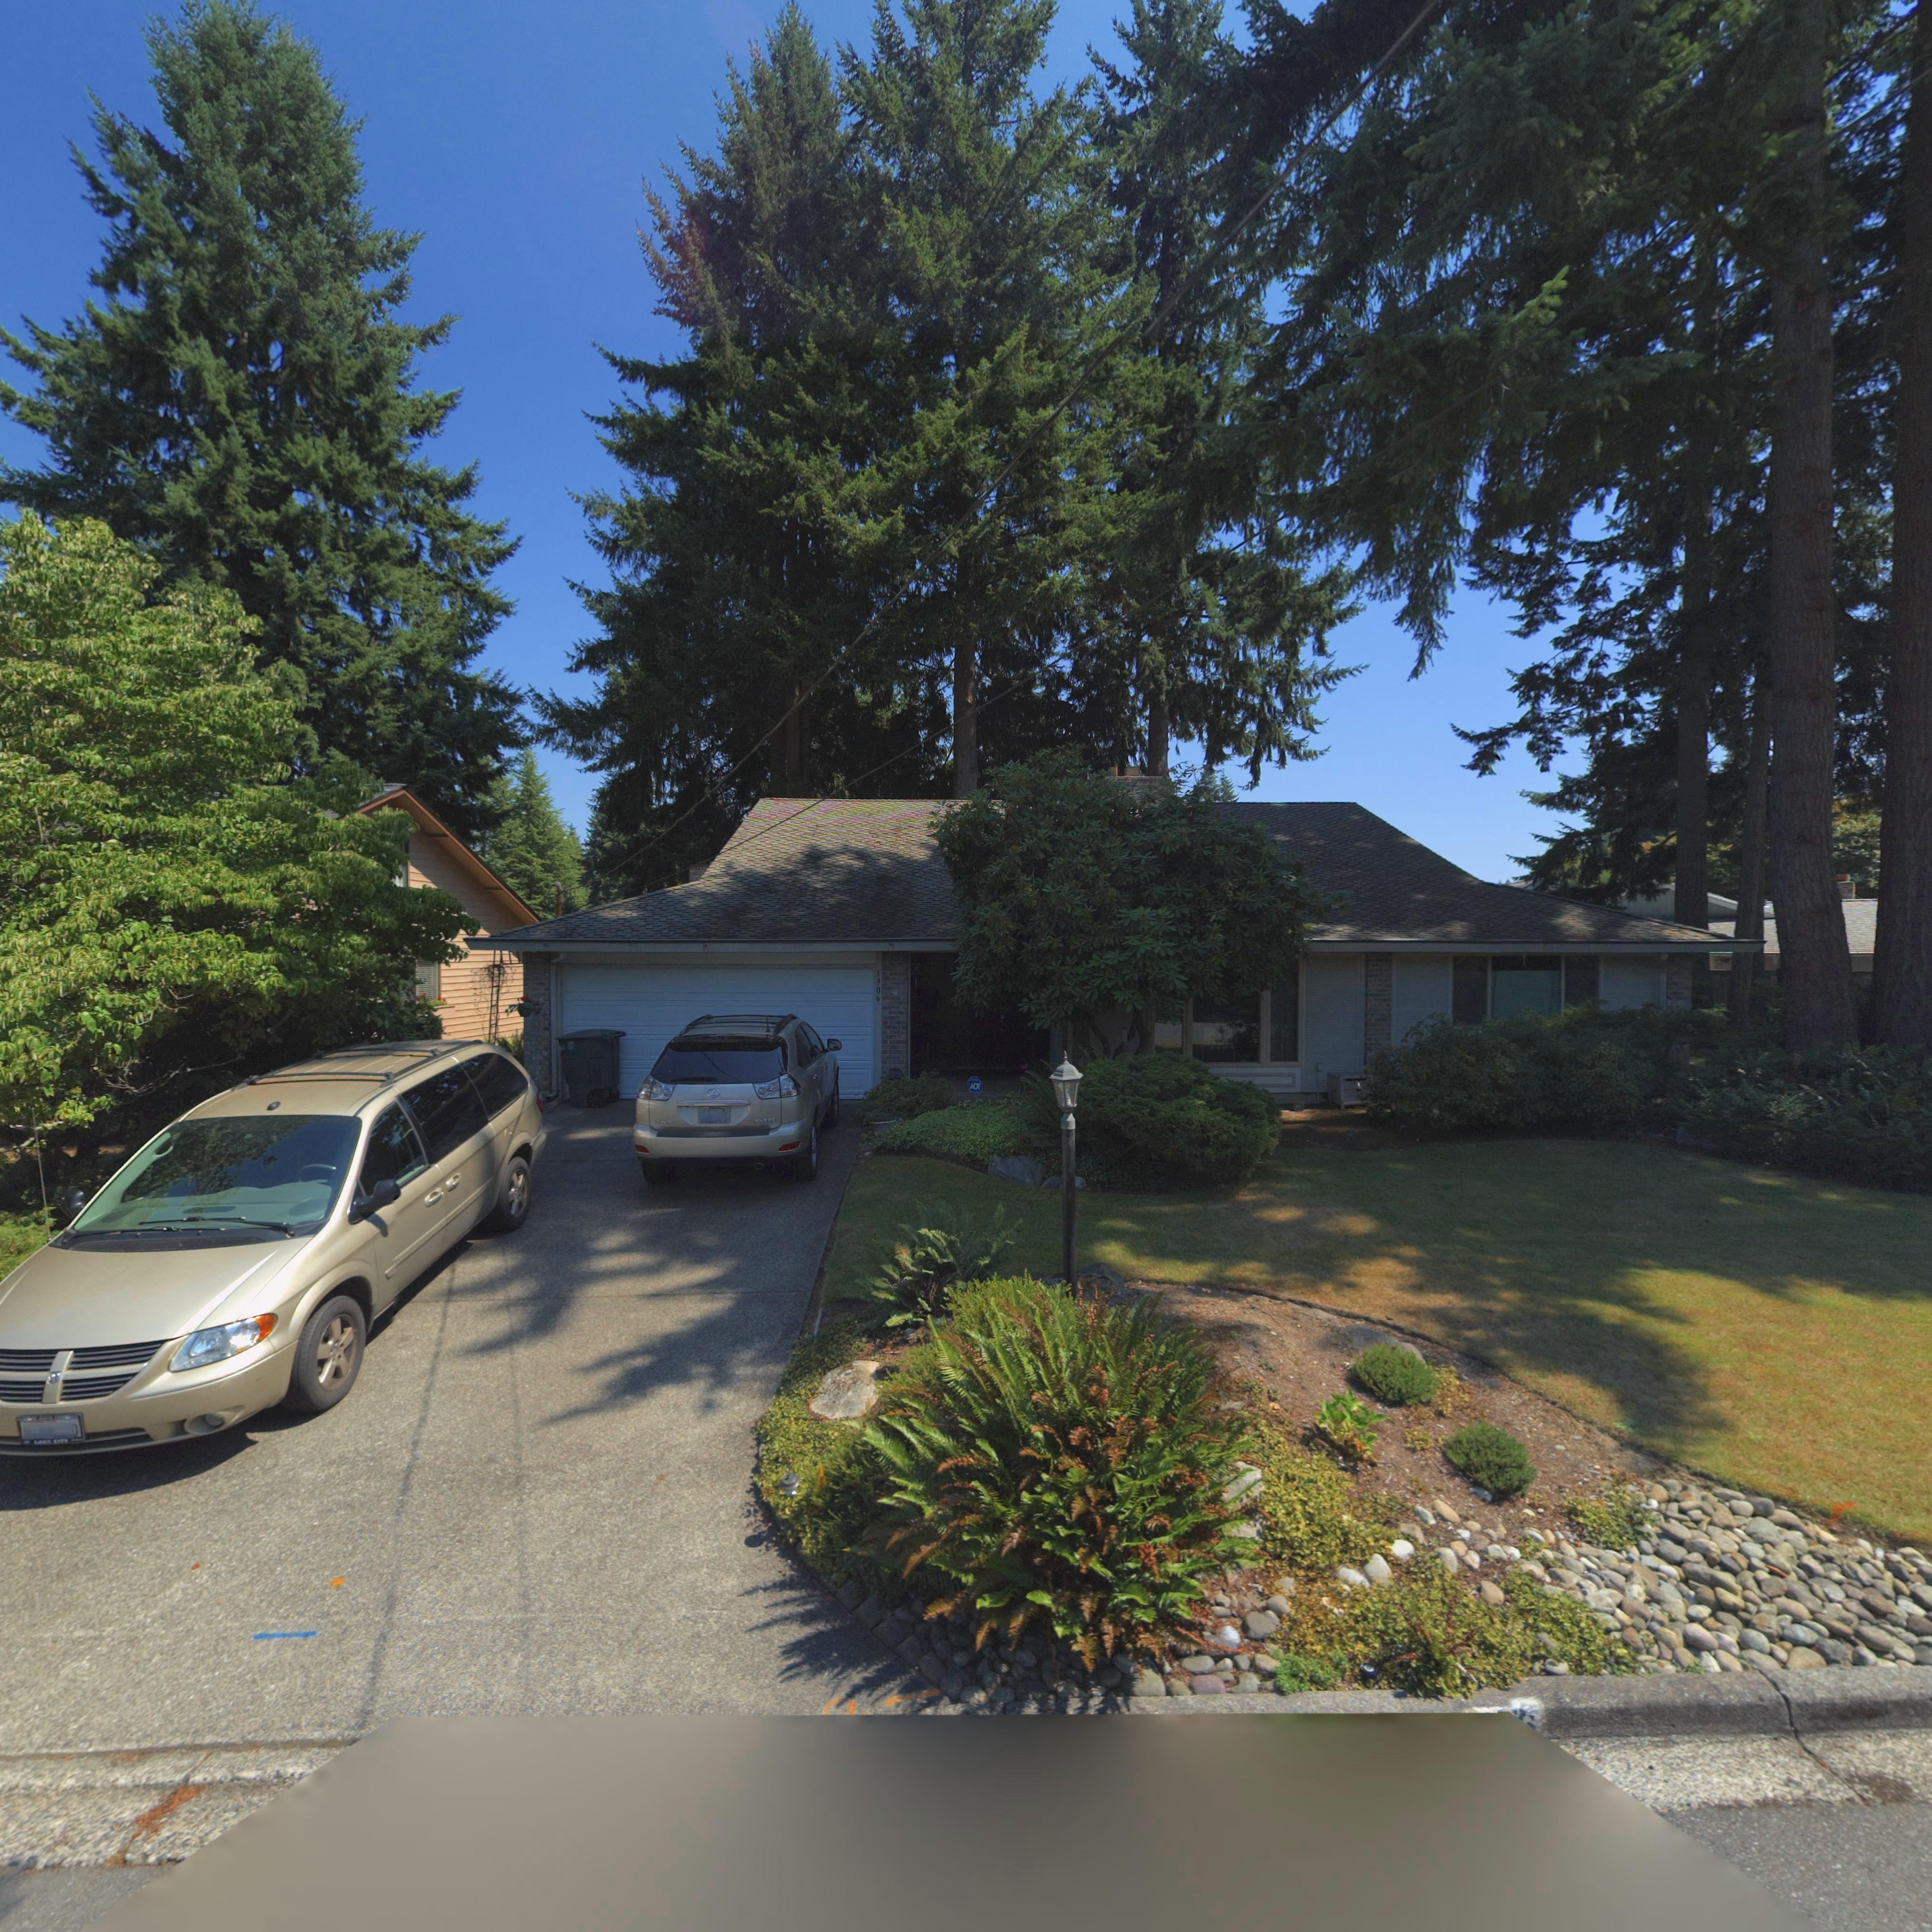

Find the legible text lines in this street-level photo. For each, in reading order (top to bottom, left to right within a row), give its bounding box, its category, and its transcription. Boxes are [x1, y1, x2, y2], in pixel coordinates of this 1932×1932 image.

[875, 969, 880, 1003] StreetNumber: 1906